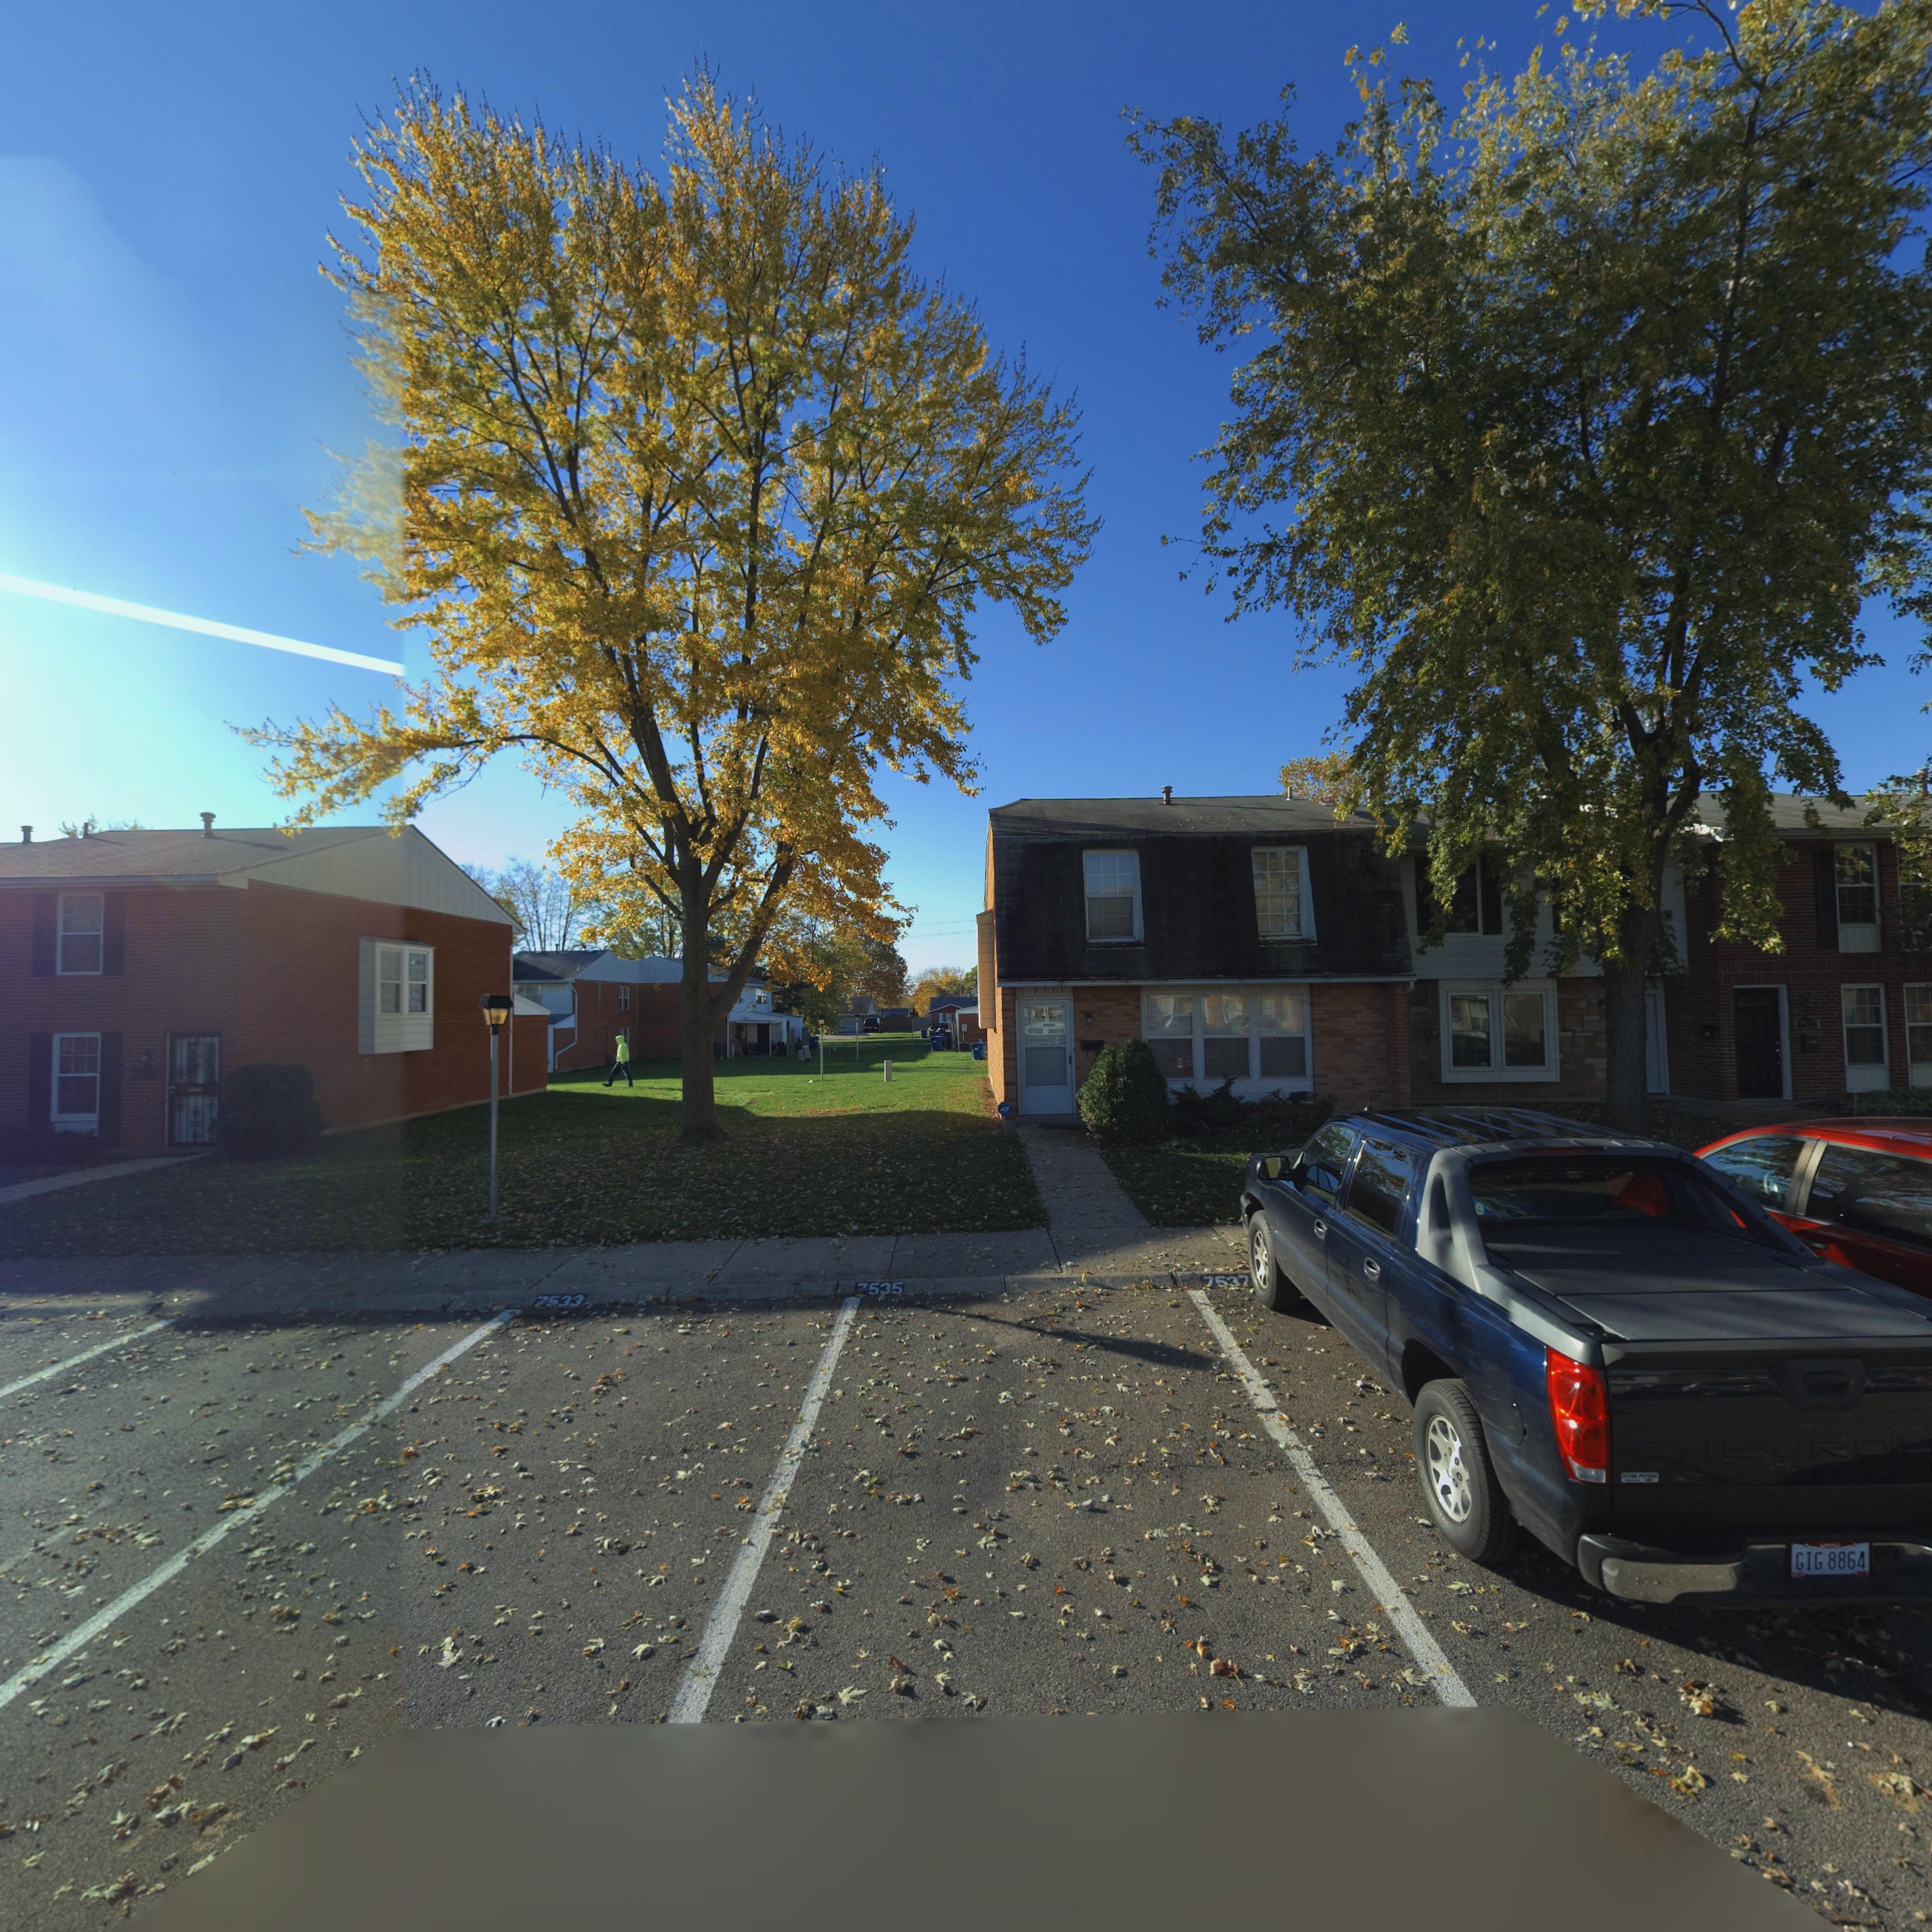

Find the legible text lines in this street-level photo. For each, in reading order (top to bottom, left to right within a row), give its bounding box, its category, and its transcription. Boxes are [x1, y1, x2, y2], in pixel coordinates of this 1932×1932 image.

[1033, 986, 1064, 995] StreetNumber: 7533
[1797, 1019, 1818, 1029] StreetNumber: 7537
[855, 1281, 905, 1295] StreetNumber: *535
[1202, 1274, 1250, 1288] StreetNumber: 7537
[531, 1294, 585, 1308] StreetNumber: 7533